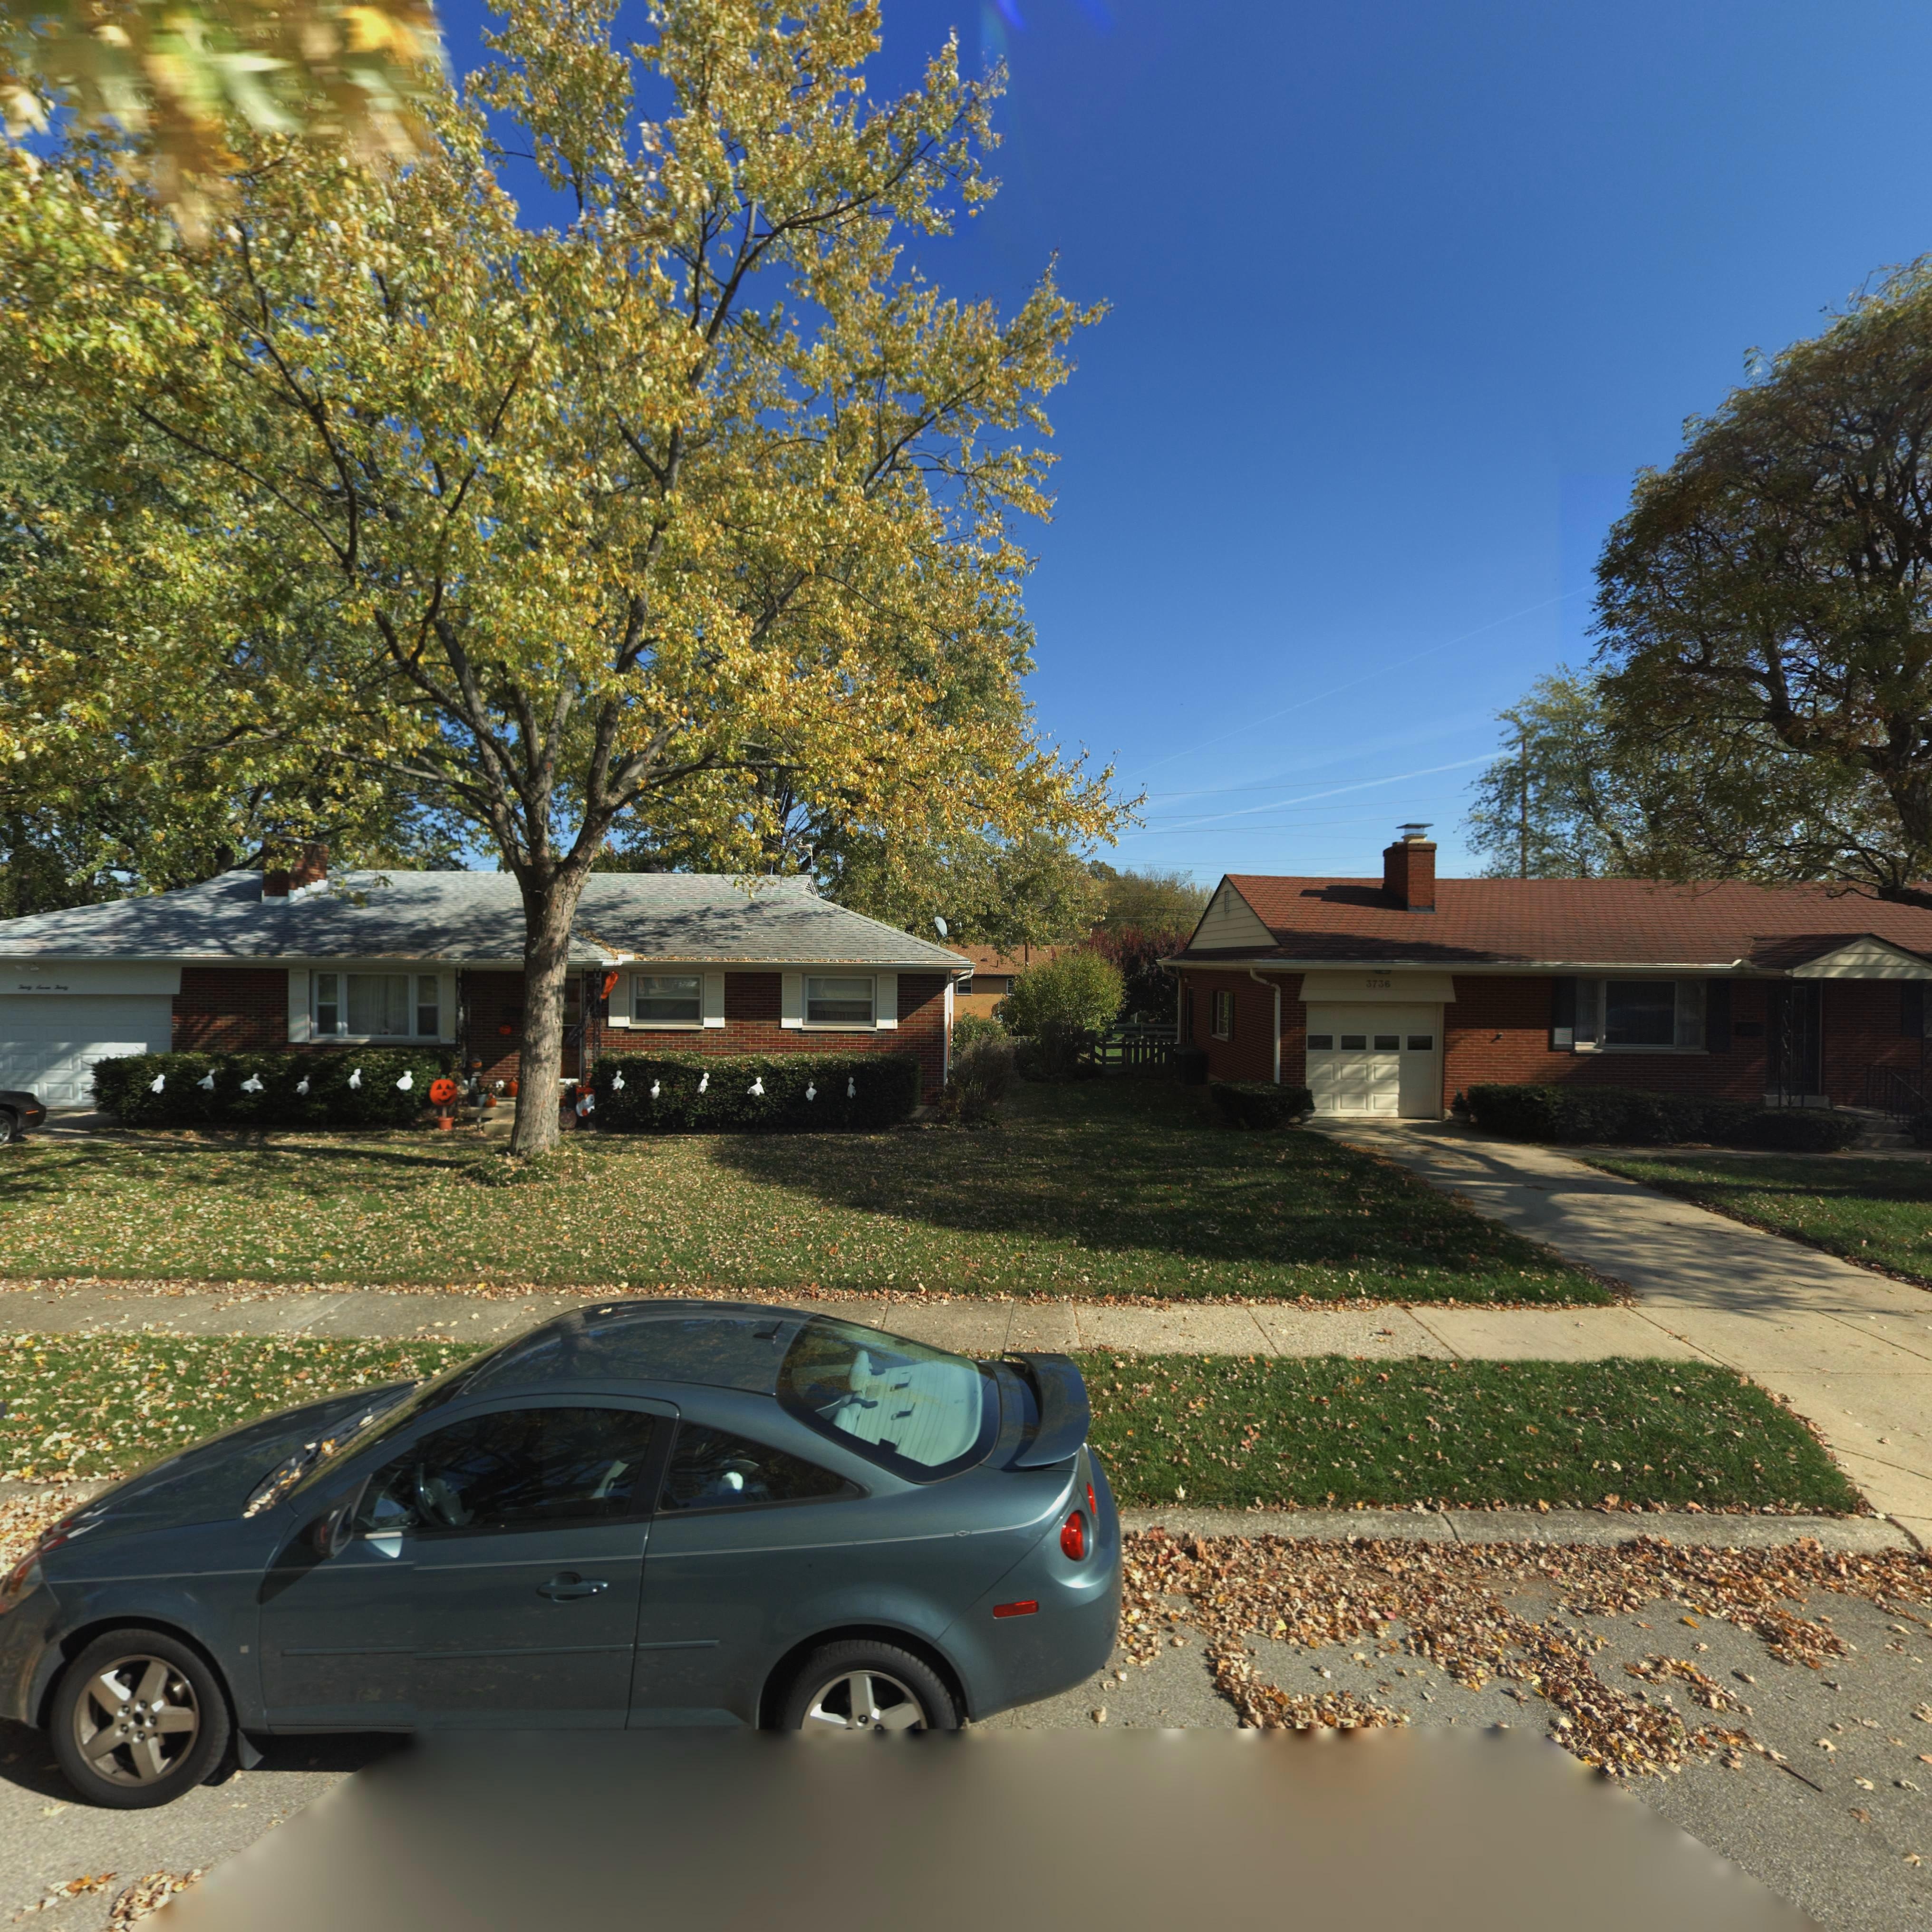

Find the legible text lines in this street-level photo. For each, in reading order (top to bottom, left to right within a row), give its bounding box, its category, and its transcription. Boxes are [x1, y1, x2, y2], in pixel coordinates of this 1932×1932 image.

[1365, 978, 1391, 989] StreetNumber: 3736